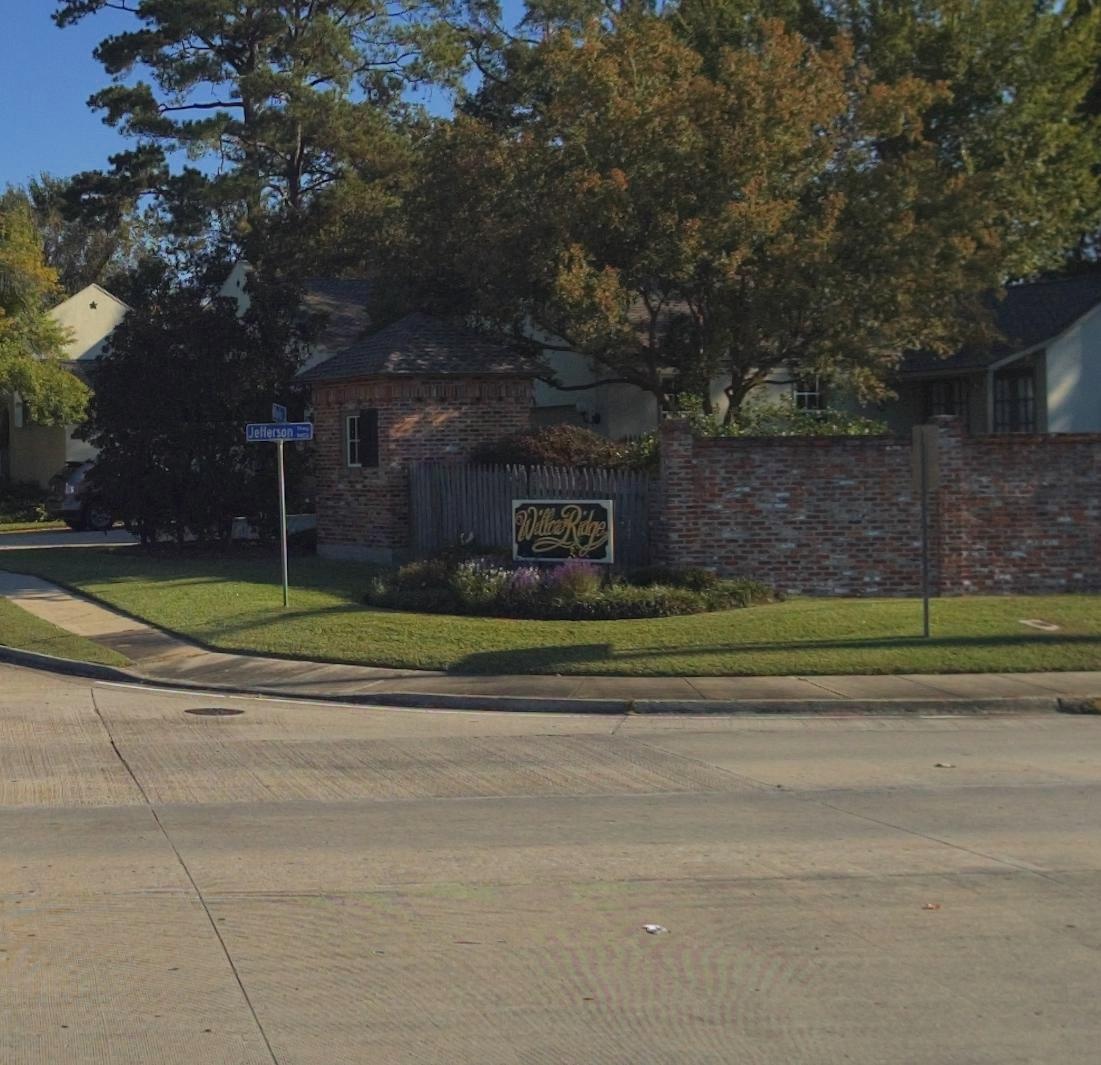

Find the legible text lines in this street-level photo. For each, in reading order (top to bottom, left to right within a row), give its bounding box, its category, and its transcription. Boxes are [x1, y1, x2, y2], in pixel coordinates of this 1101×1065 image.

[246, 423, 295, 440] StreetName: Jefferson
[513, 502, 609, 560] BusinessName: Willow Ridge